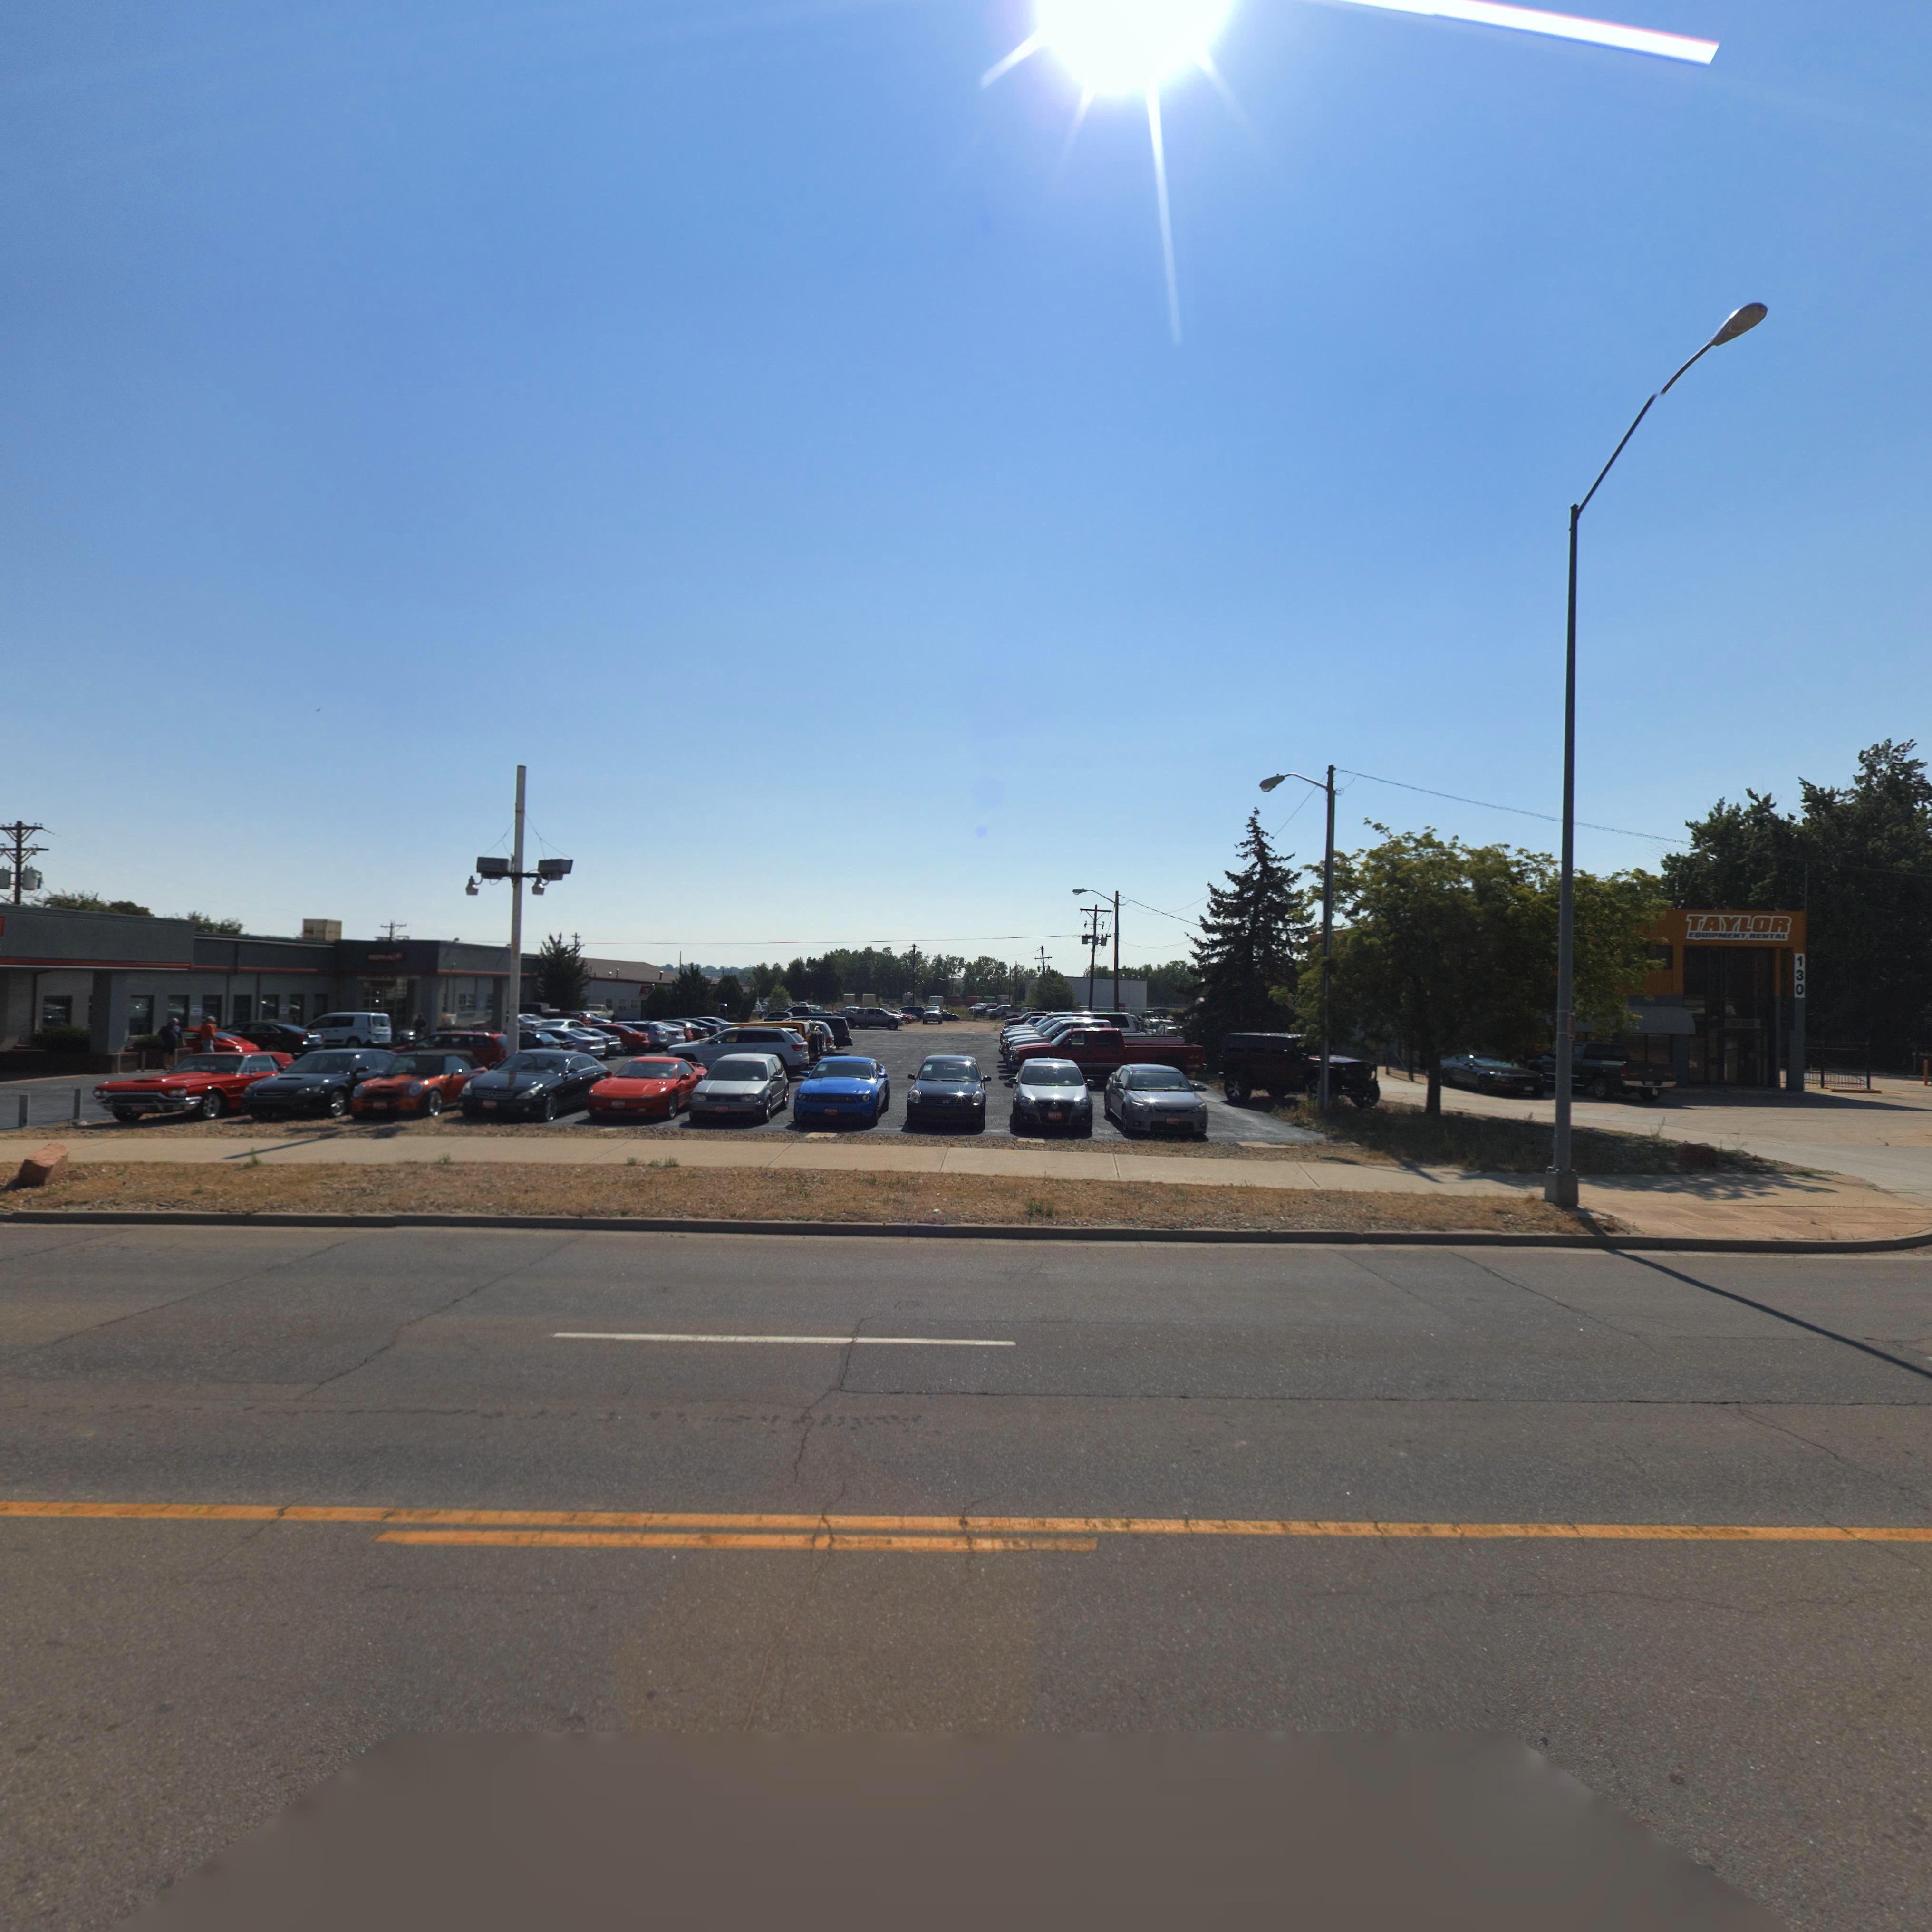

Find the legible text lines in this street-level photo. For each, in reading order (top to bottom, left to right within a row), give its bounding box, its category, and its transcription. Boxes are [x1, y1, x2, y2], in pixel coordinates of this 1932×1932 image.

[1688, 915, 1790, 933] BusinessName: TAYLOR
[1795, 955, 1804, 995] StreetNumber: 130